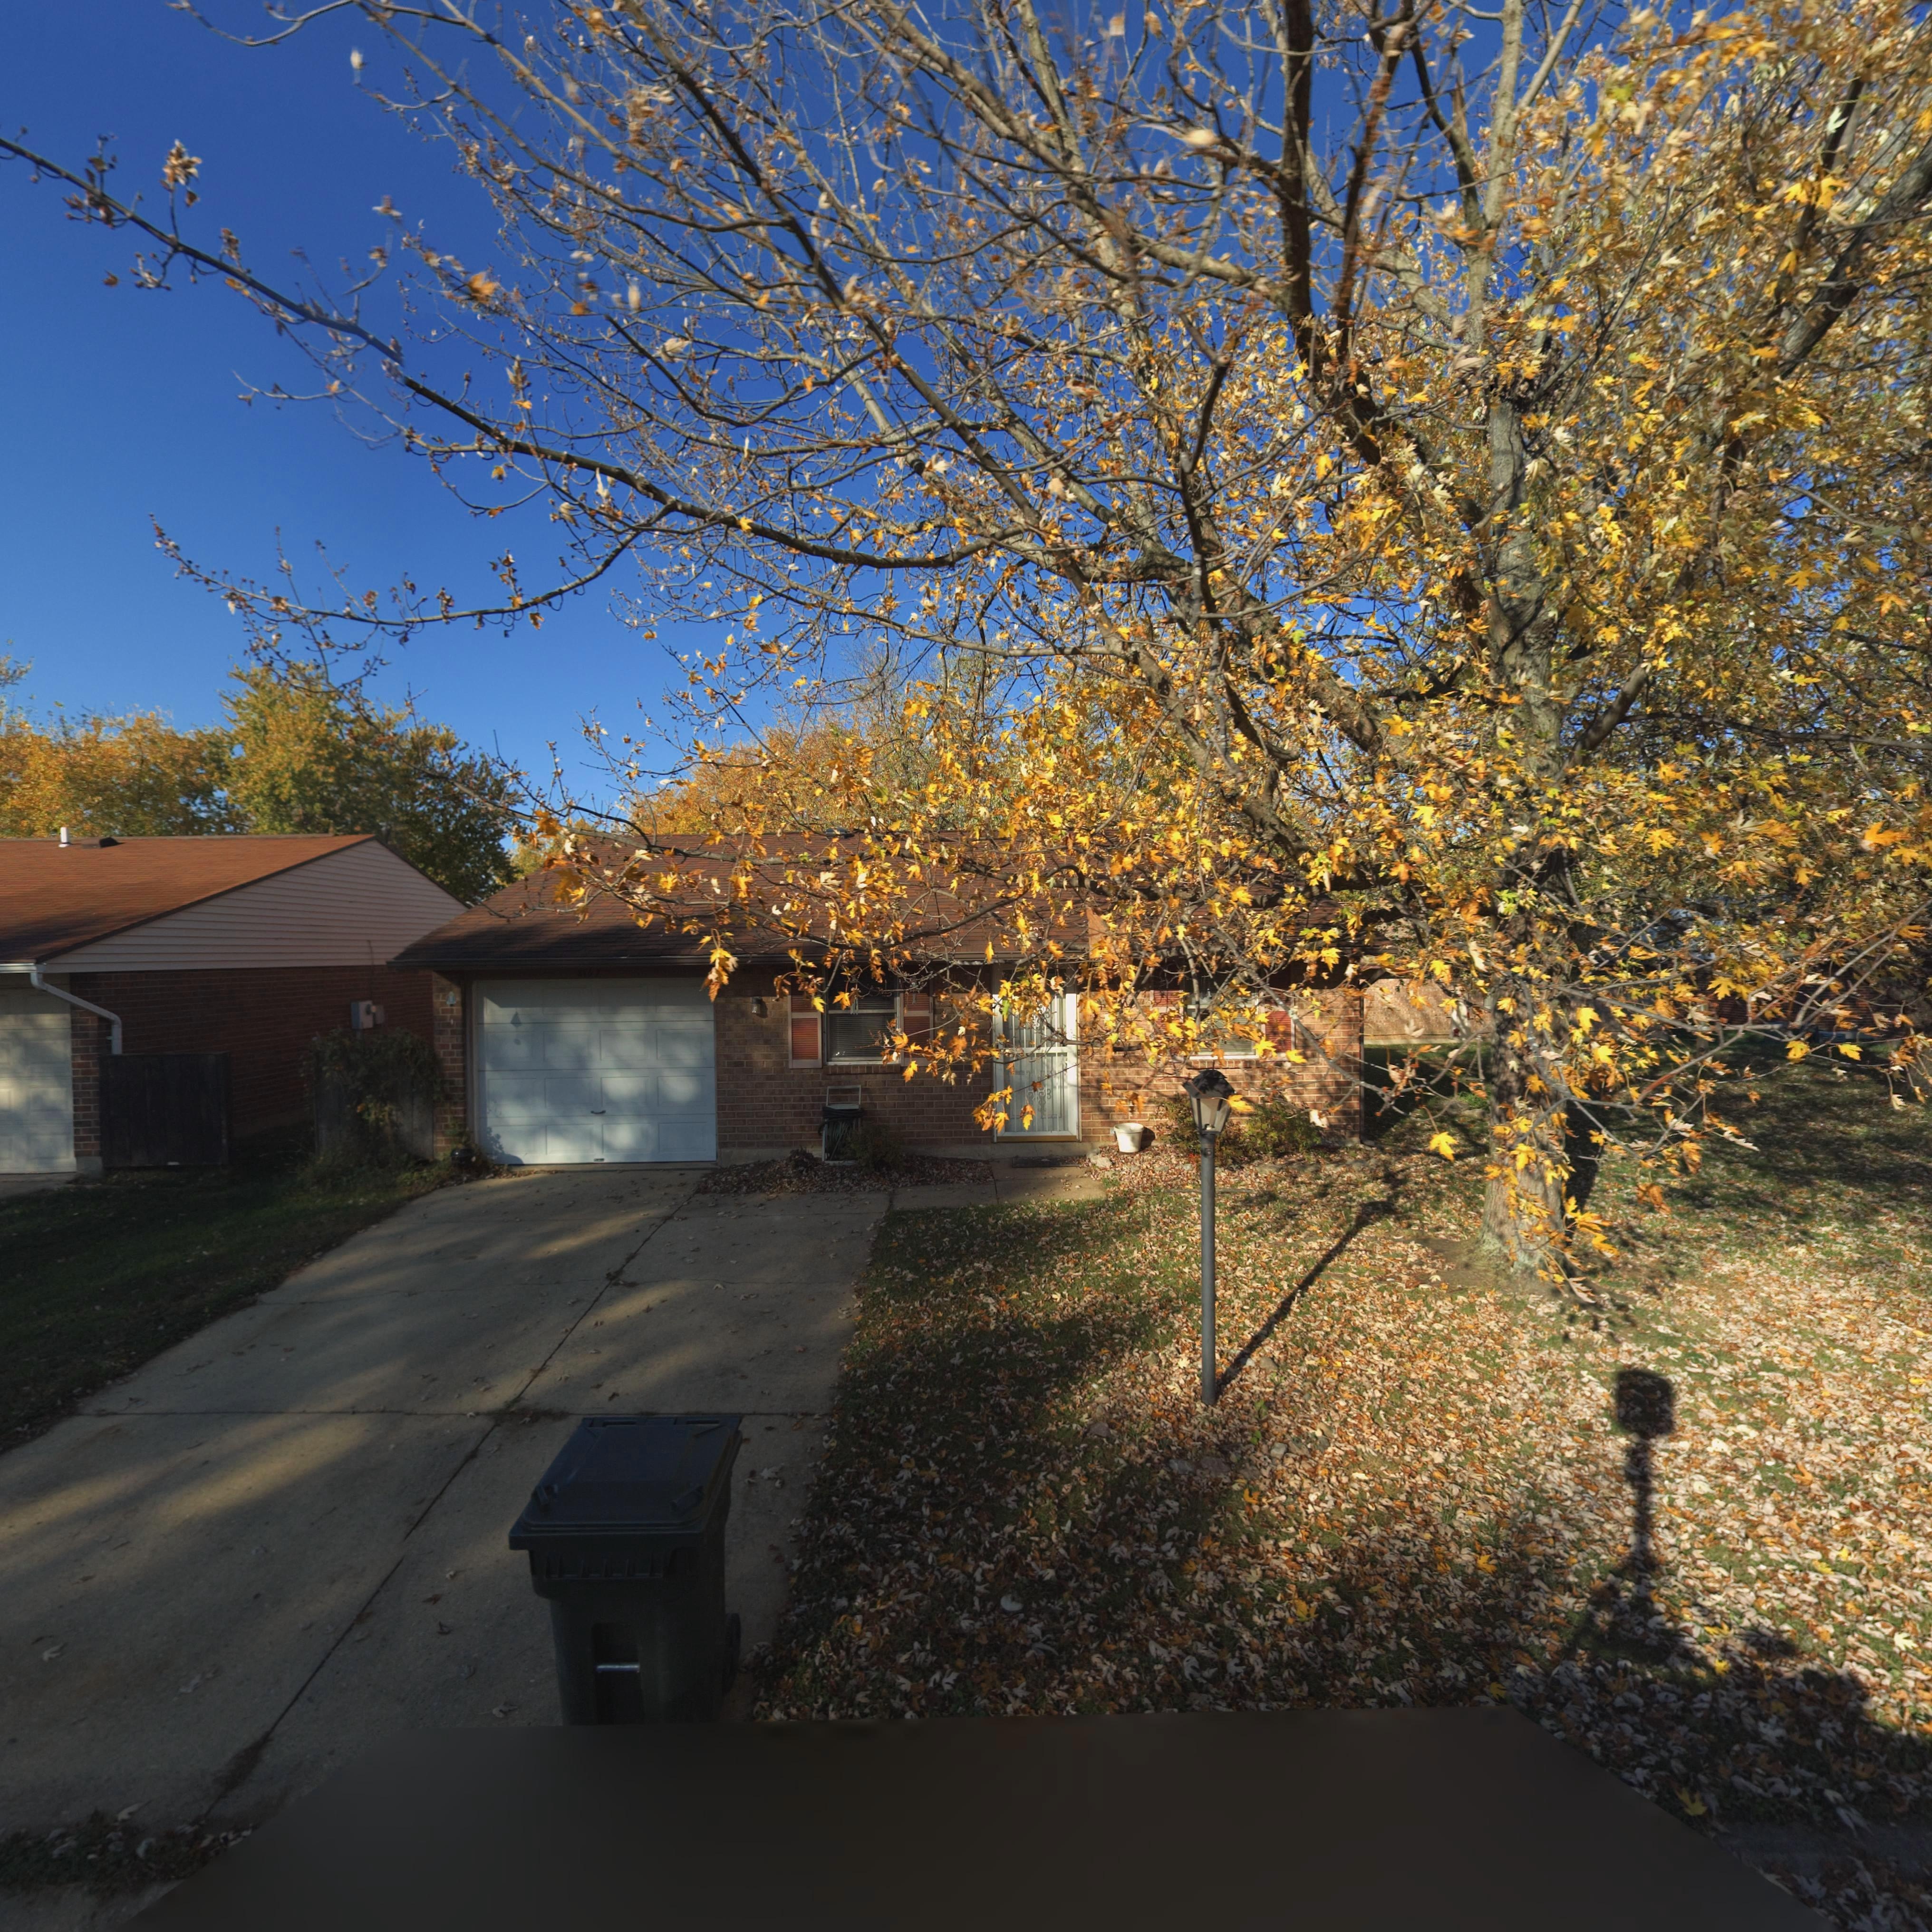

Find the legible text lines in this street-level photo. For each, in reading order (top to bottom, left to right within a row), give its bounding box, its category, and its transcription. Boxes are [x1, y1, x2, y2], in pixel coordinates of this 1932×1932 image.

[576, 967, 601, 978] StreetNumber: 8167